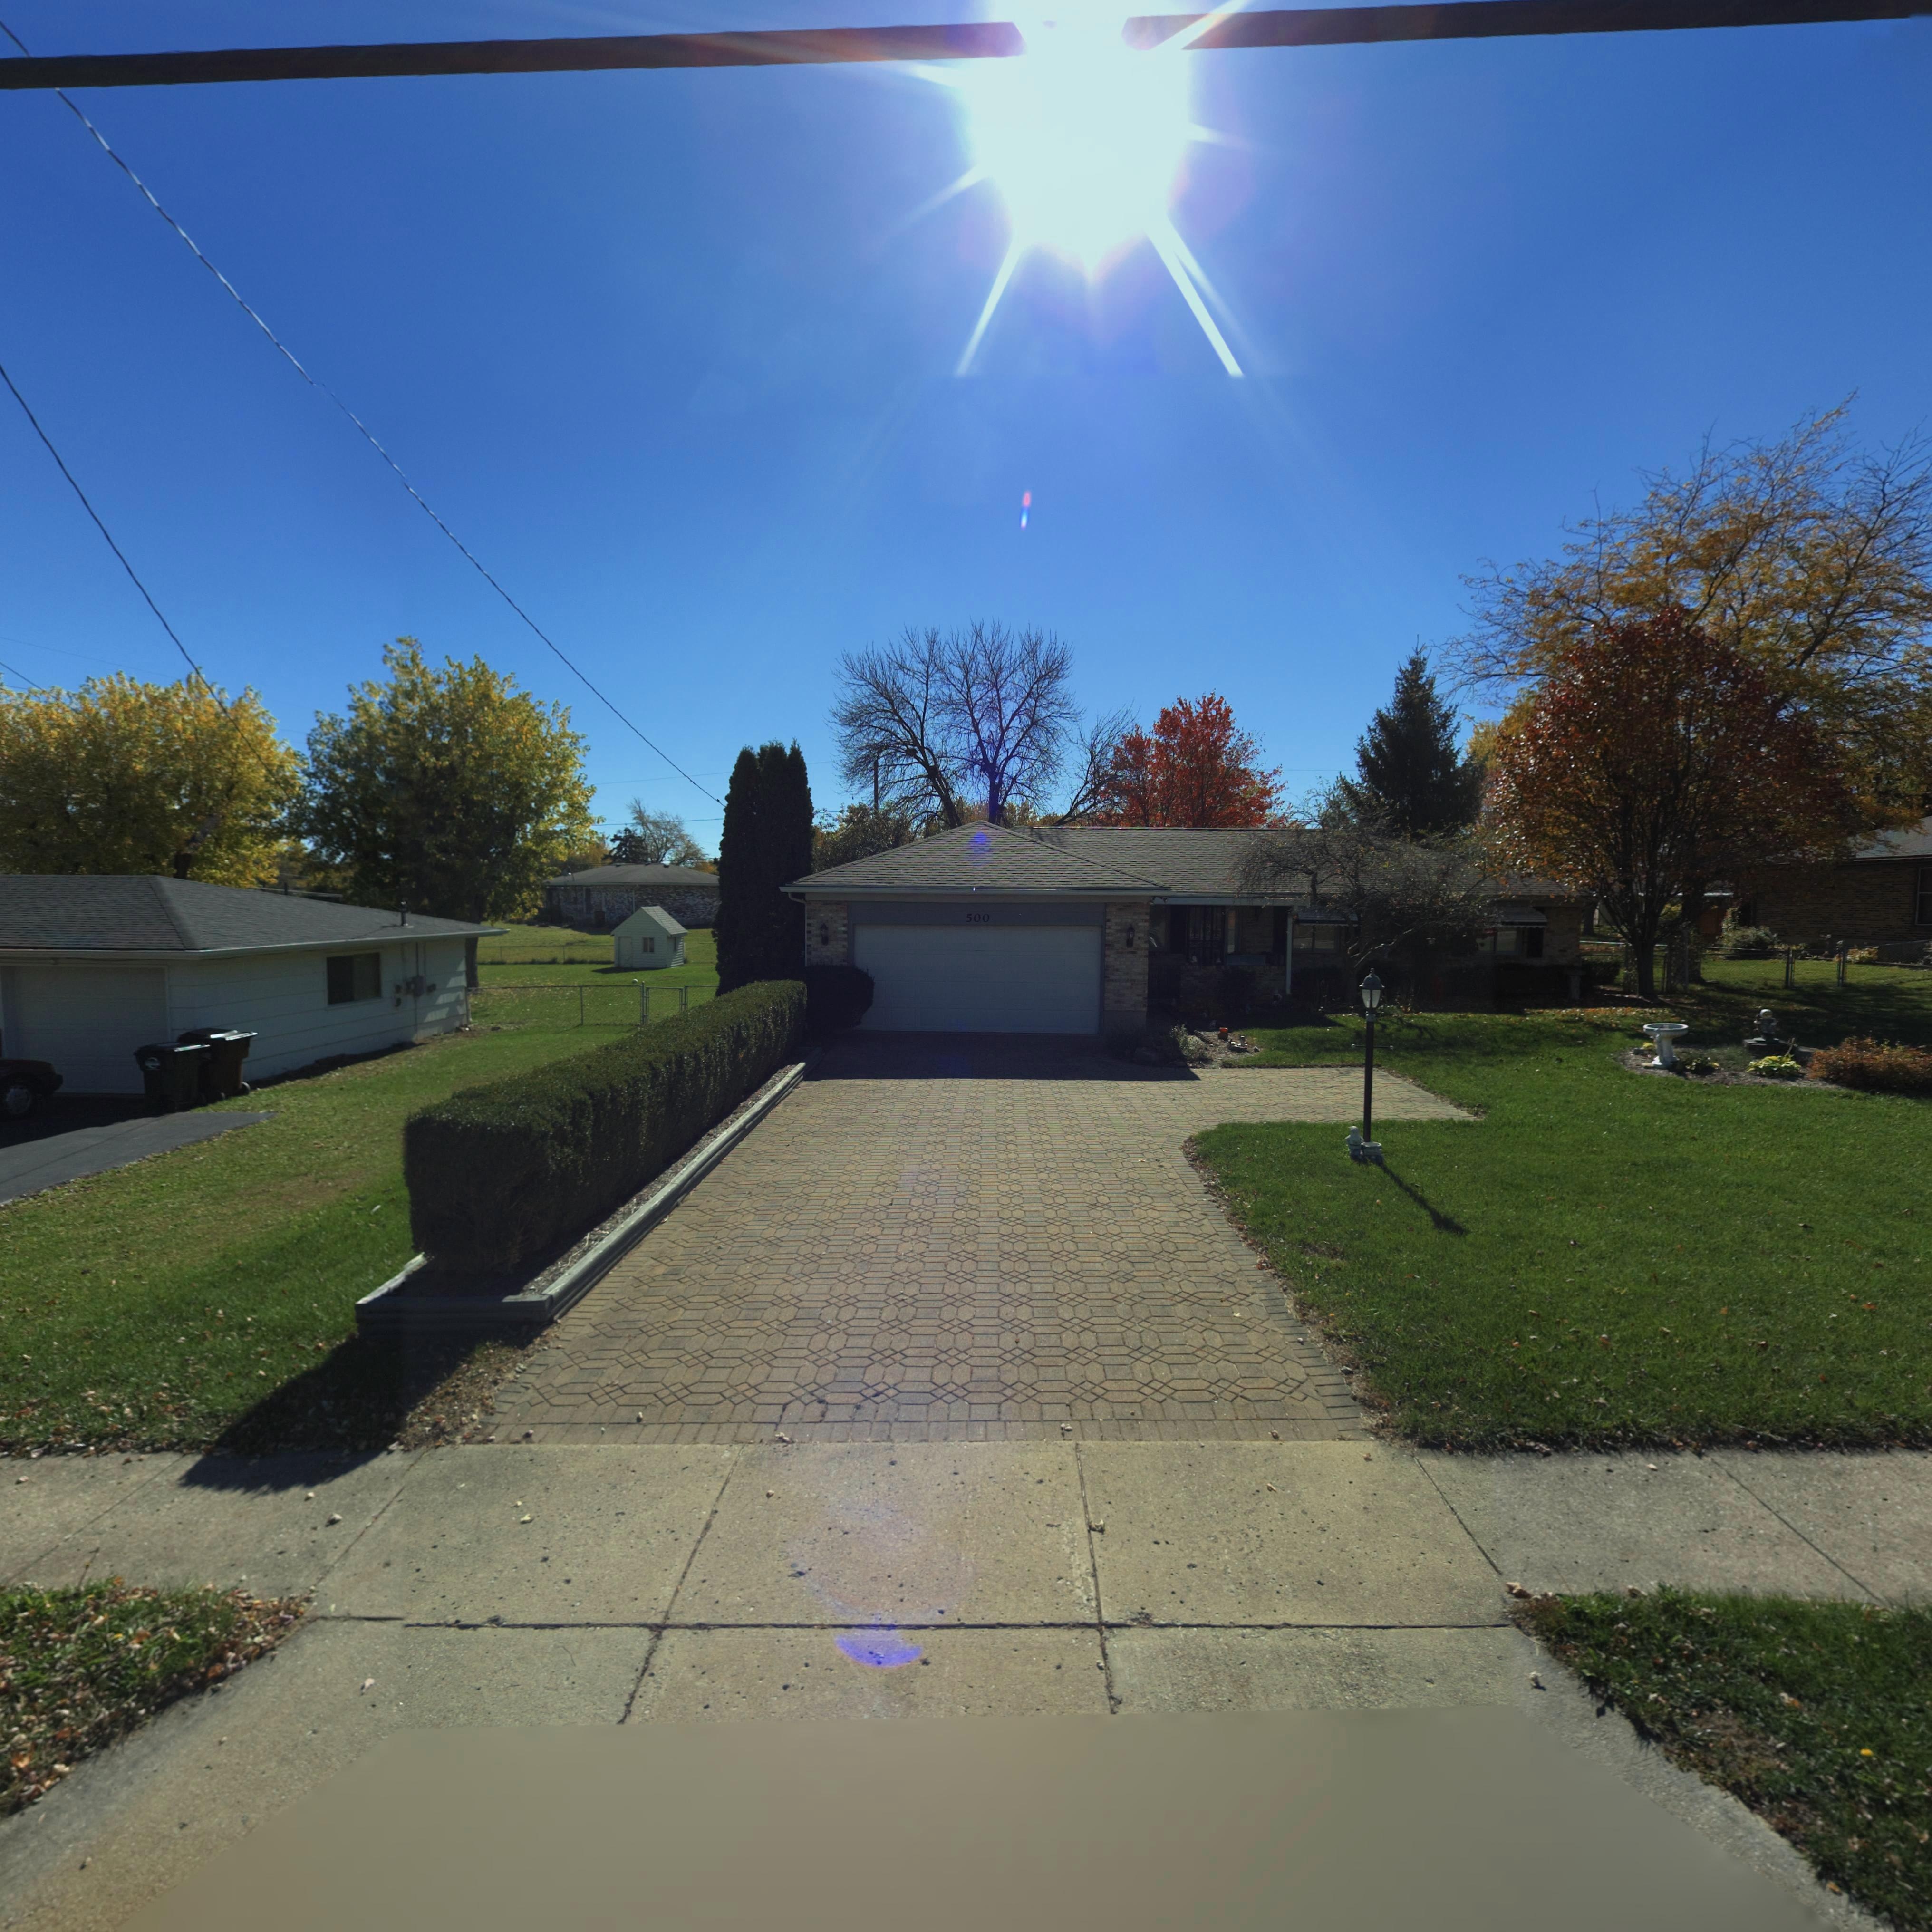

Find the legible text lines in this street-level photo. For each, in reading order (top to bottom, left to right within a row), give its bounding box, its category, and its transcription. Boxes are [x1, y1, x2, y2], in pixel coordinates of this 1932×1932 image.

[965, 912, 991, 923] StreetNumber: 500